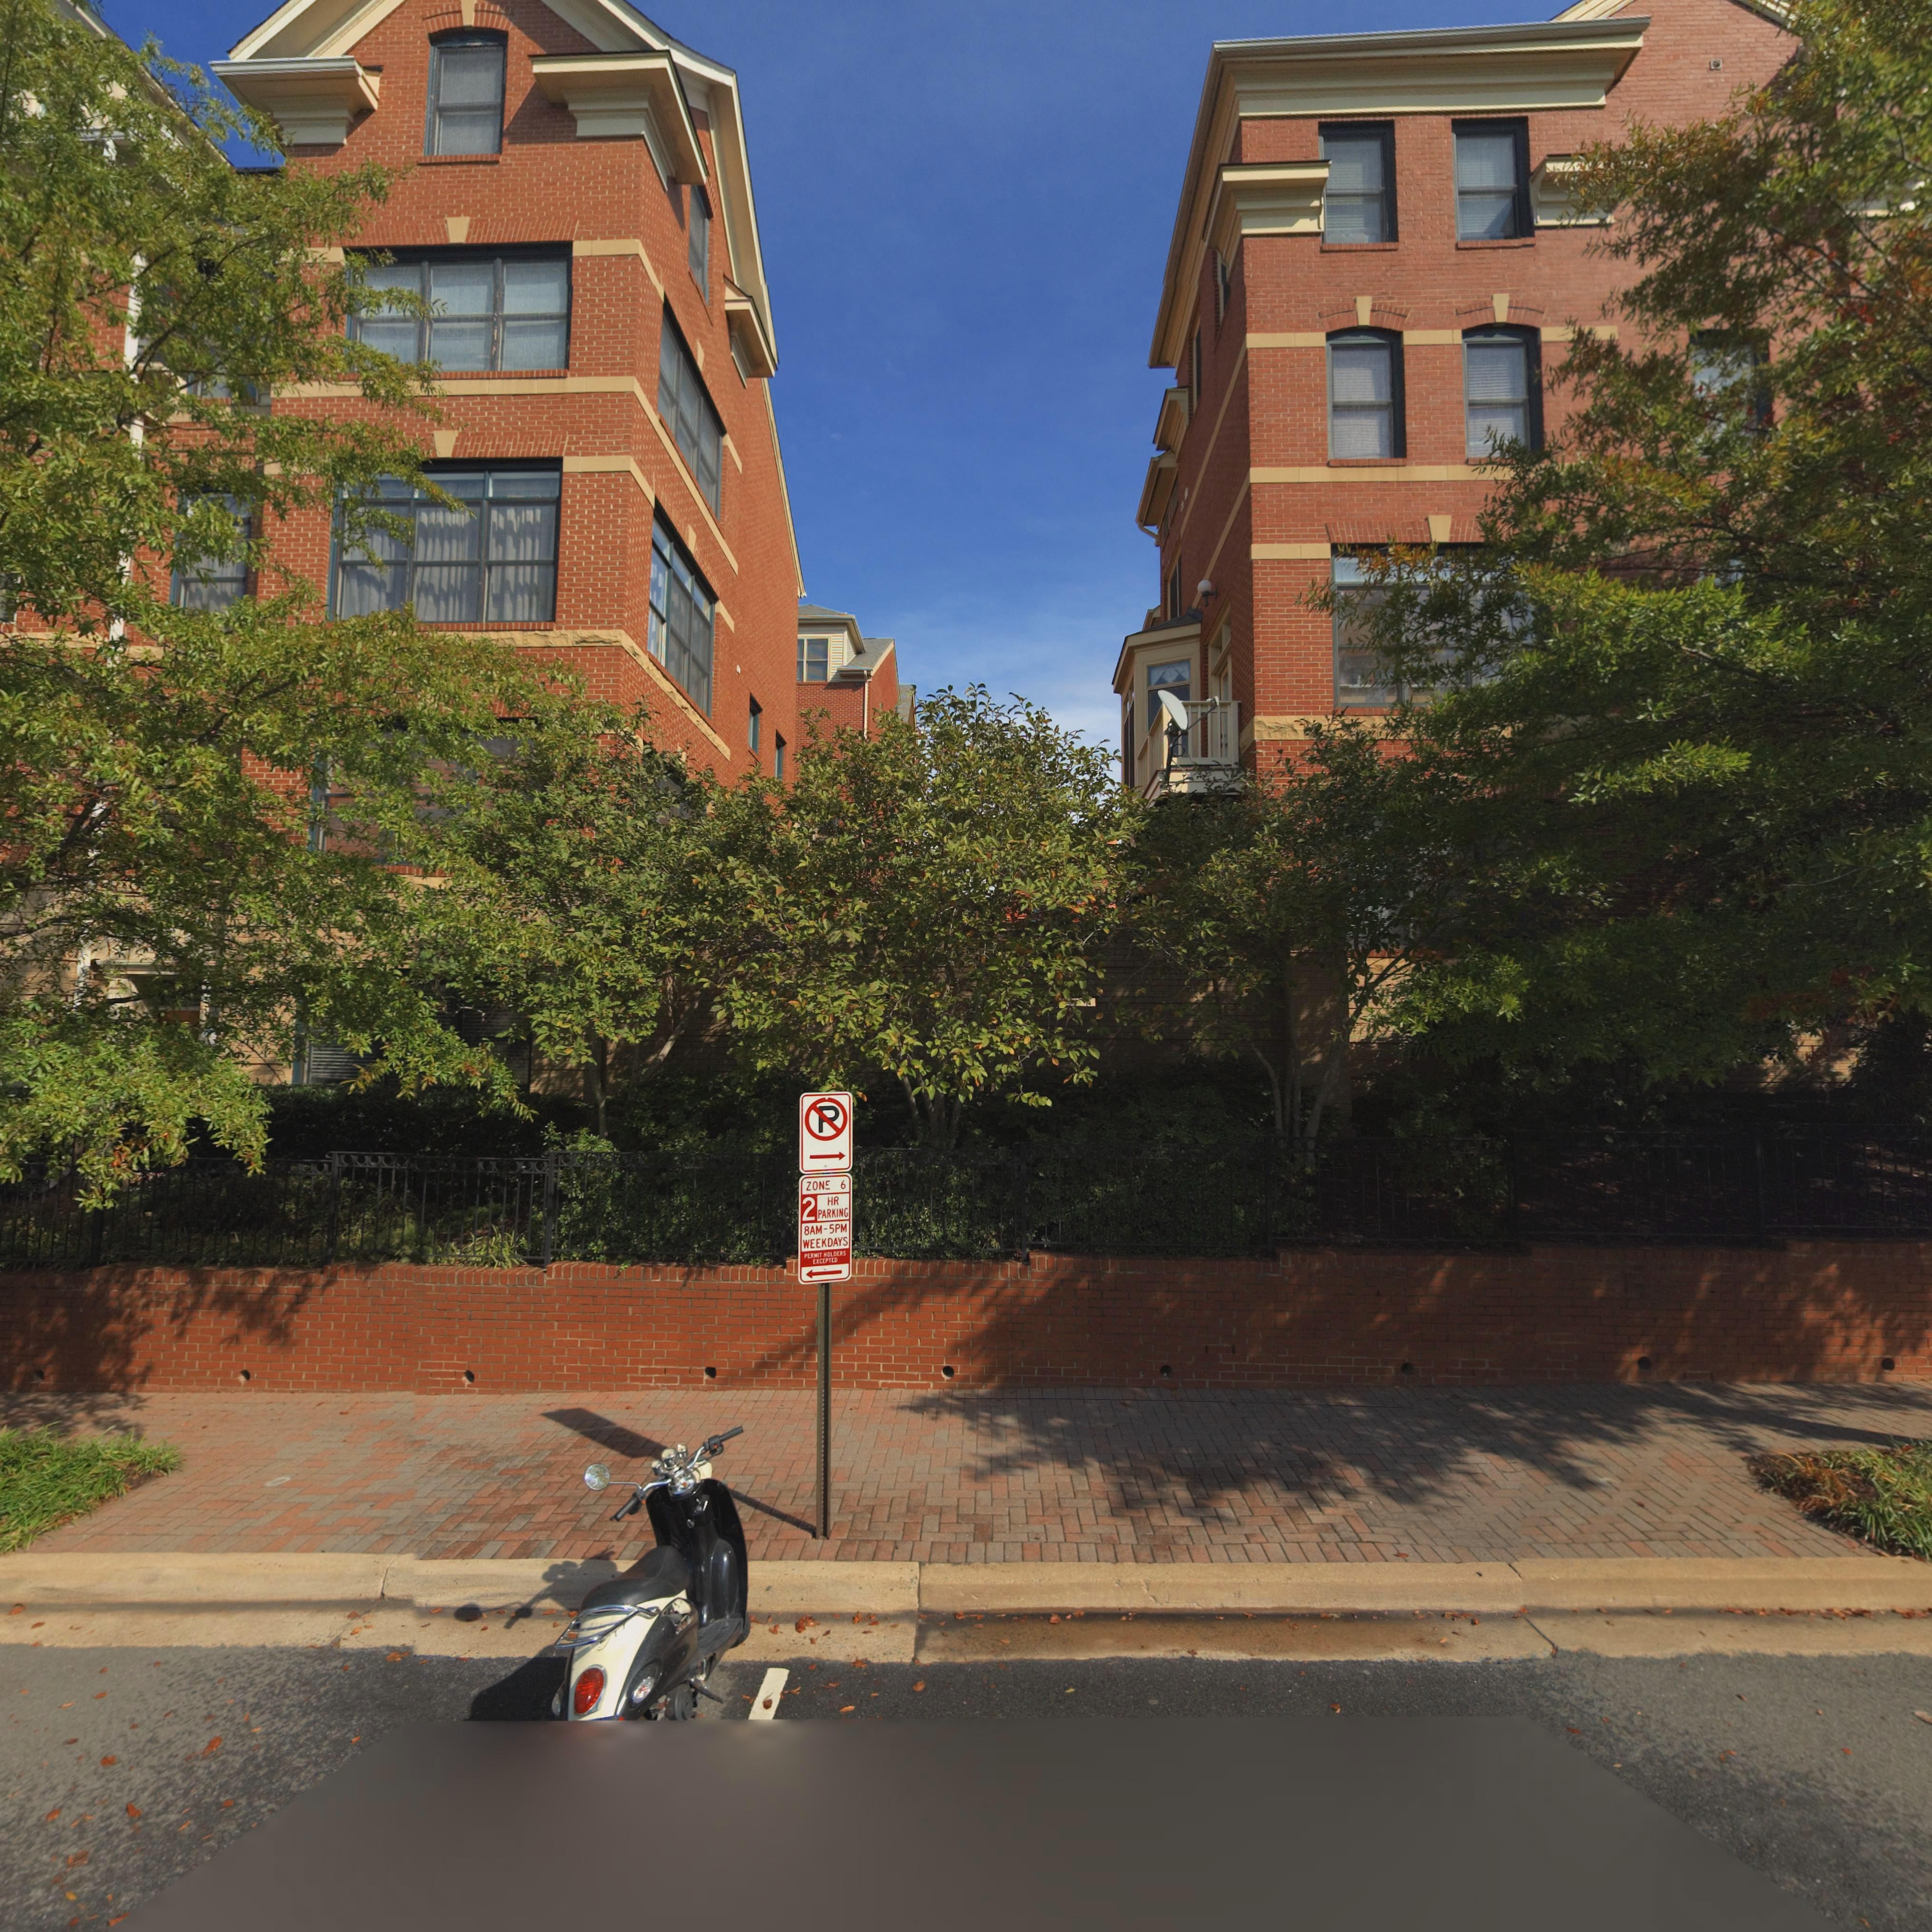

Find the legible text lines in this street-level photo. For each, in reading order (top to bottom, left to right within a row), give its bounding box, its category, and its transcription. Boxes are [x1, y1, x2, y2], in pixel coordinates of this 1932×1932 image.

[806, 1179, 847, 1191] None: ZON* 6
[827, 1196, 840, 1206] None: HR
[802, 1196, 816, 1222] None: 2
[817, 1207, 848, 1219] None: PARKING
[804, 1223, 847, 1236] None: 8AM-5PM
[802, 1236, 848, 1249] None: WEEKDAYS
[803, 1250, 846, 1259] None: PERMIT HOLDERS
[812, 1257, 838, 1265] None: EXCEPTED